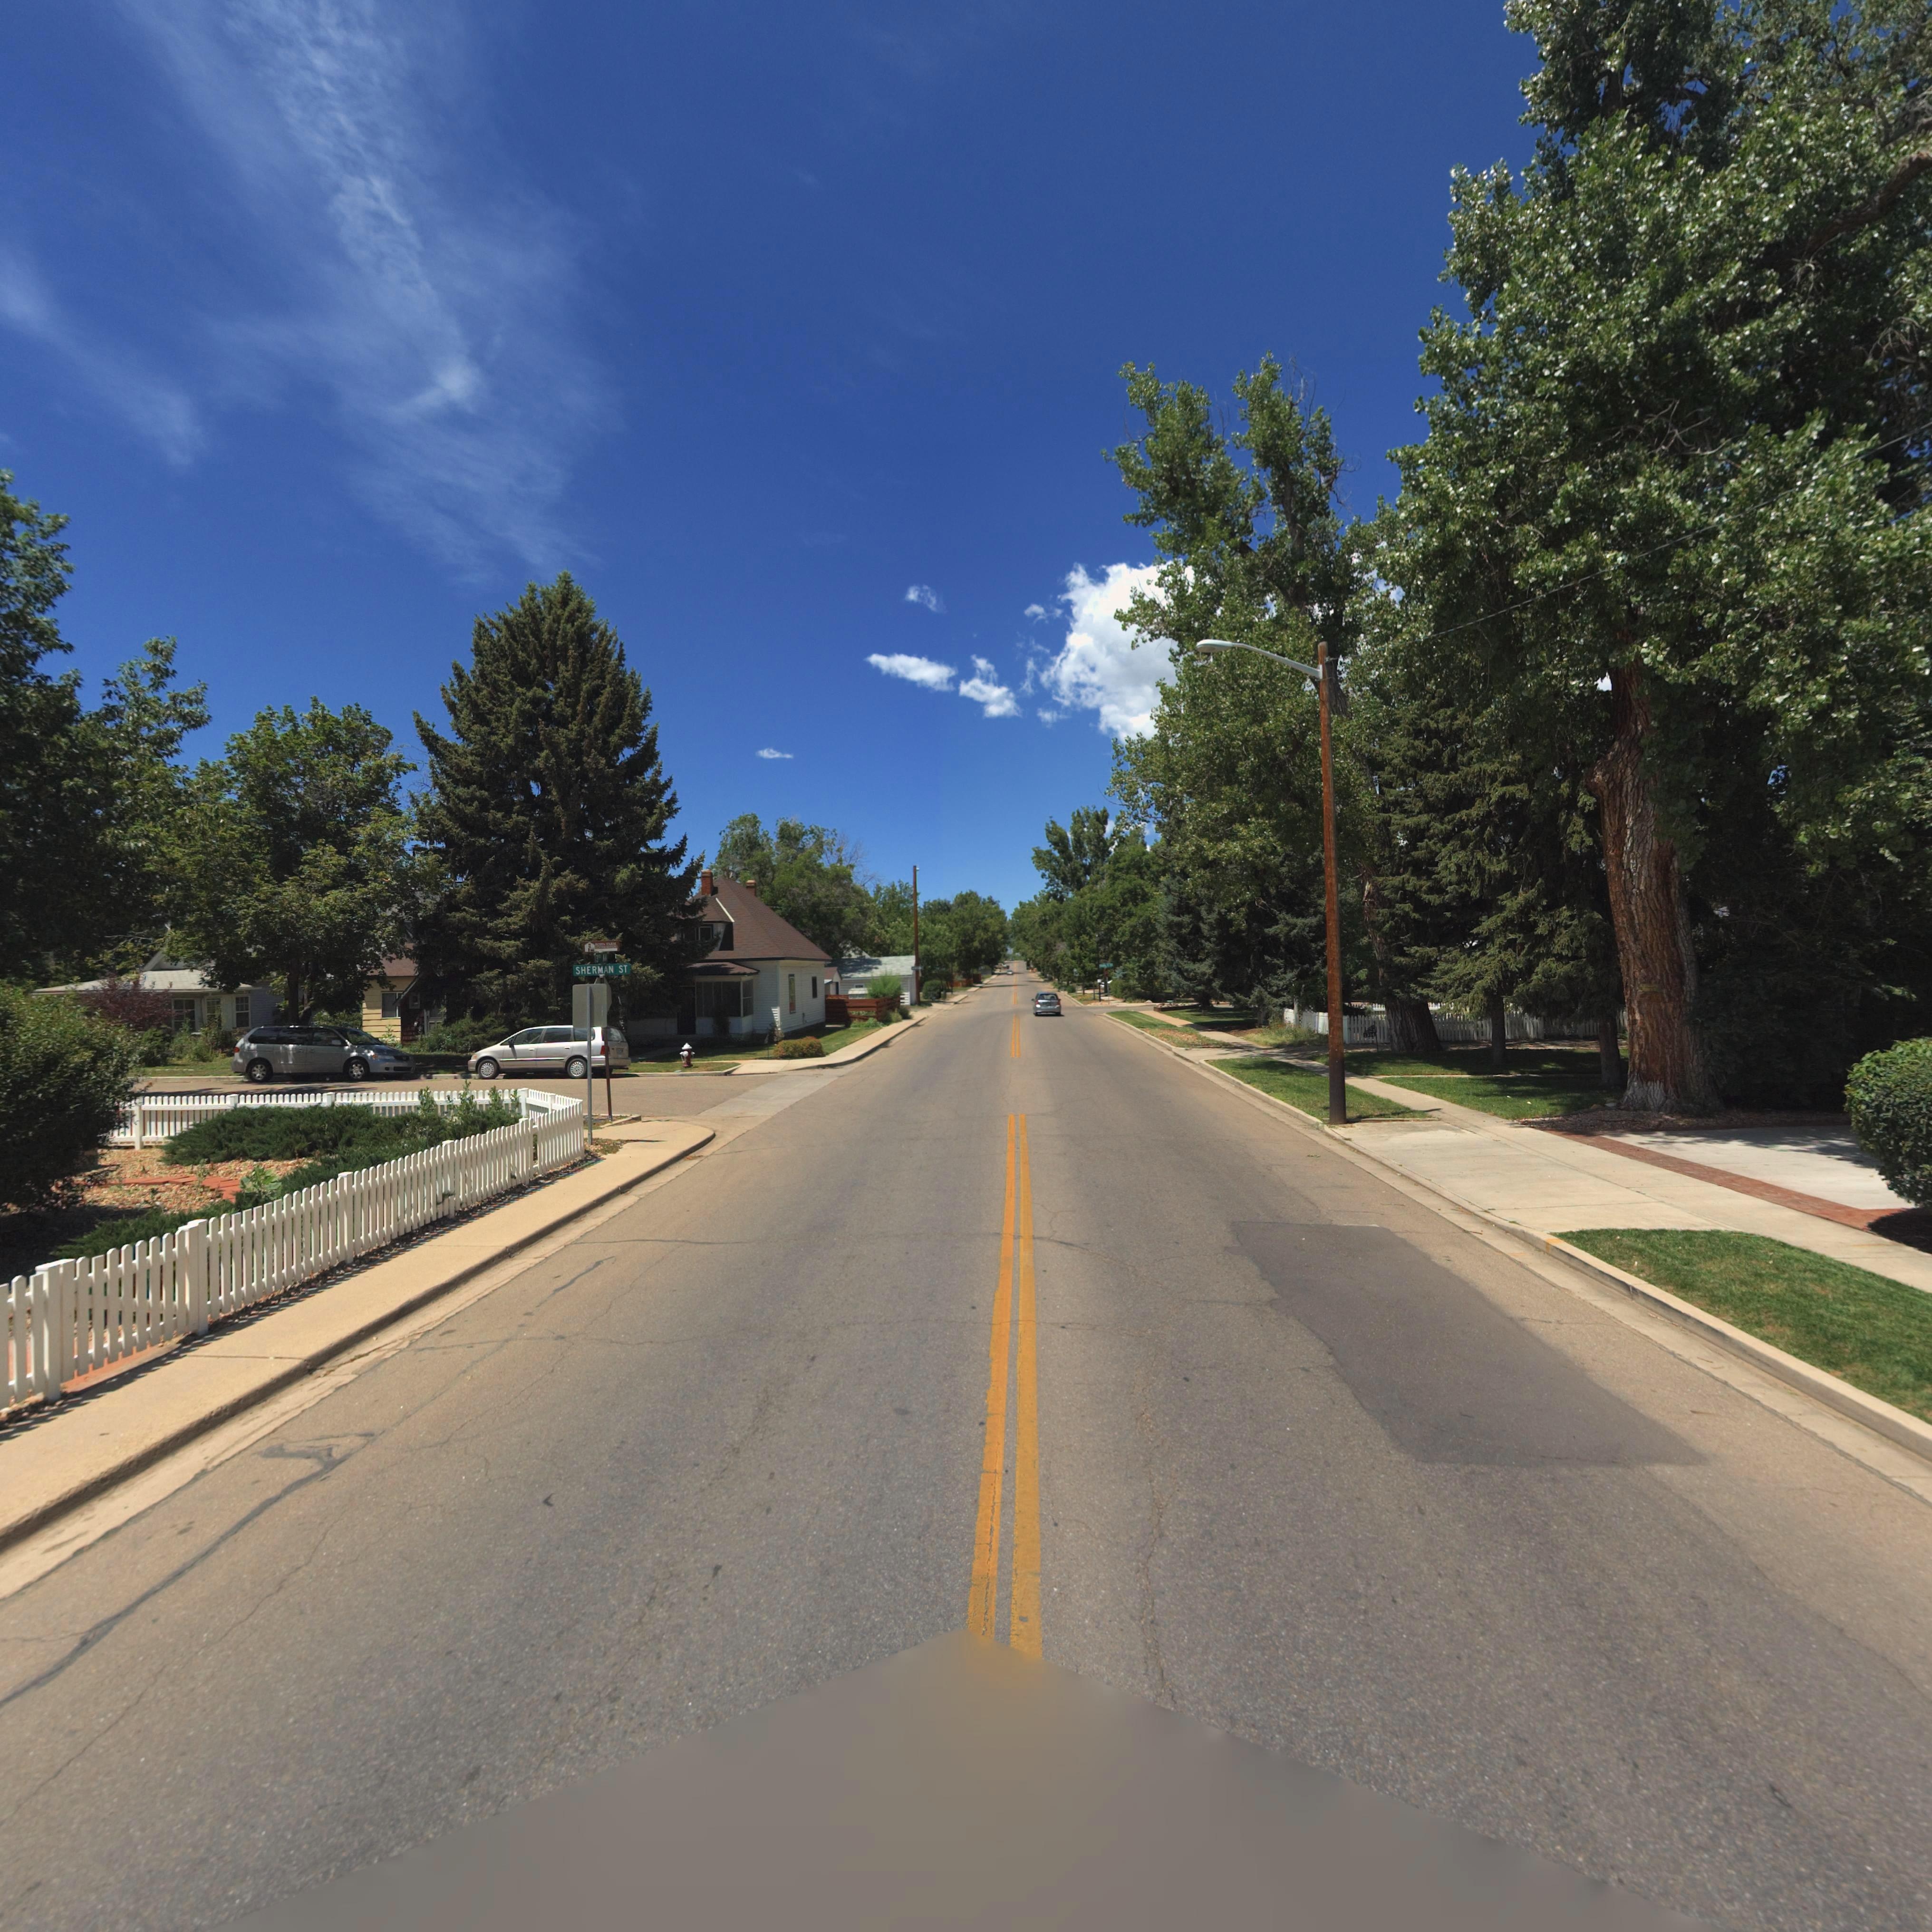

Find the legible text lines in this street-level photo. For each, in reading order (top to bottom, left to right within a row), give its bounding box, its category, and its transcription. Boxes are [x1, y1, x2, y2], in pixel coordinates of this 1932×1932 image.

[596, 954, 607, 963] StreetName: 3** AV
[575, 965, 627, 975] StreetName: SHERMAN ST
[1364, 1032, 1374, 1037] StreetNumber: 1314